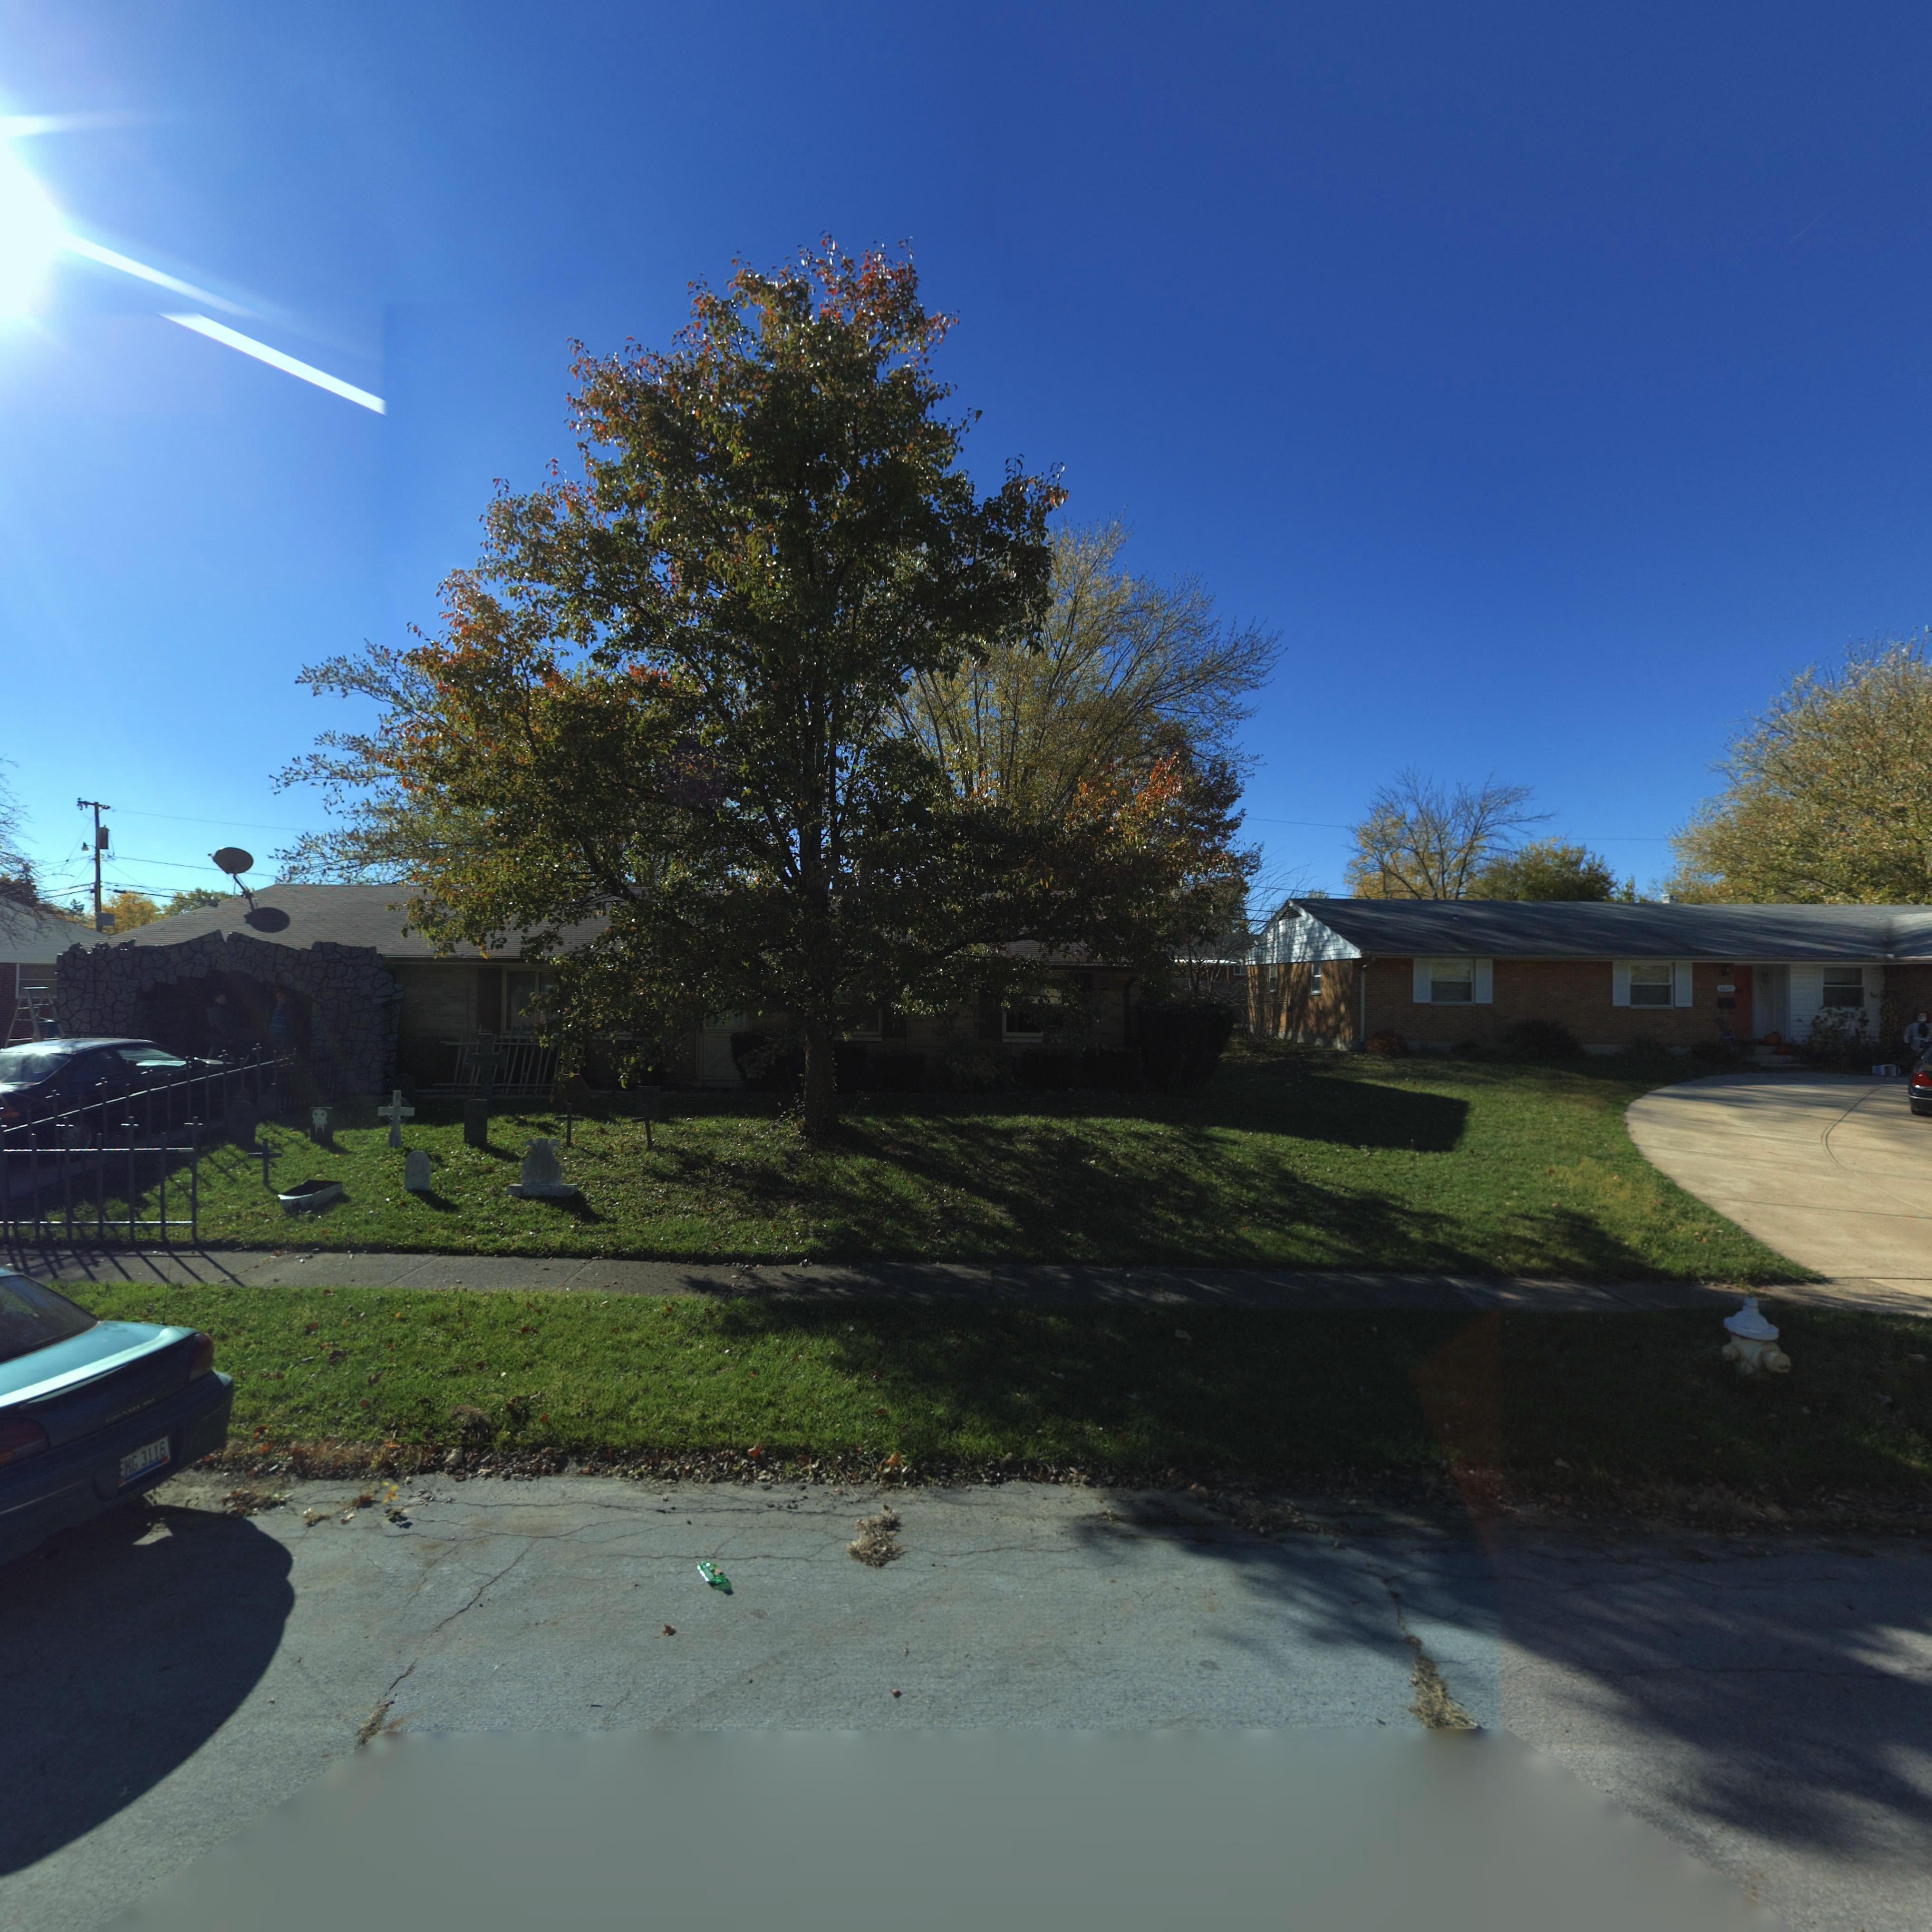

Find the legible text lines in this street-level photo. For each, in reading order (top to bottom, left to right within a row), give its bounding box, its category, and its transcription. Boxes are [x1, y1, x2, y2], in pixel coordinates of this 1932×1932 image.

[1719, 985, 1733, 991] StreetNumber: 68**